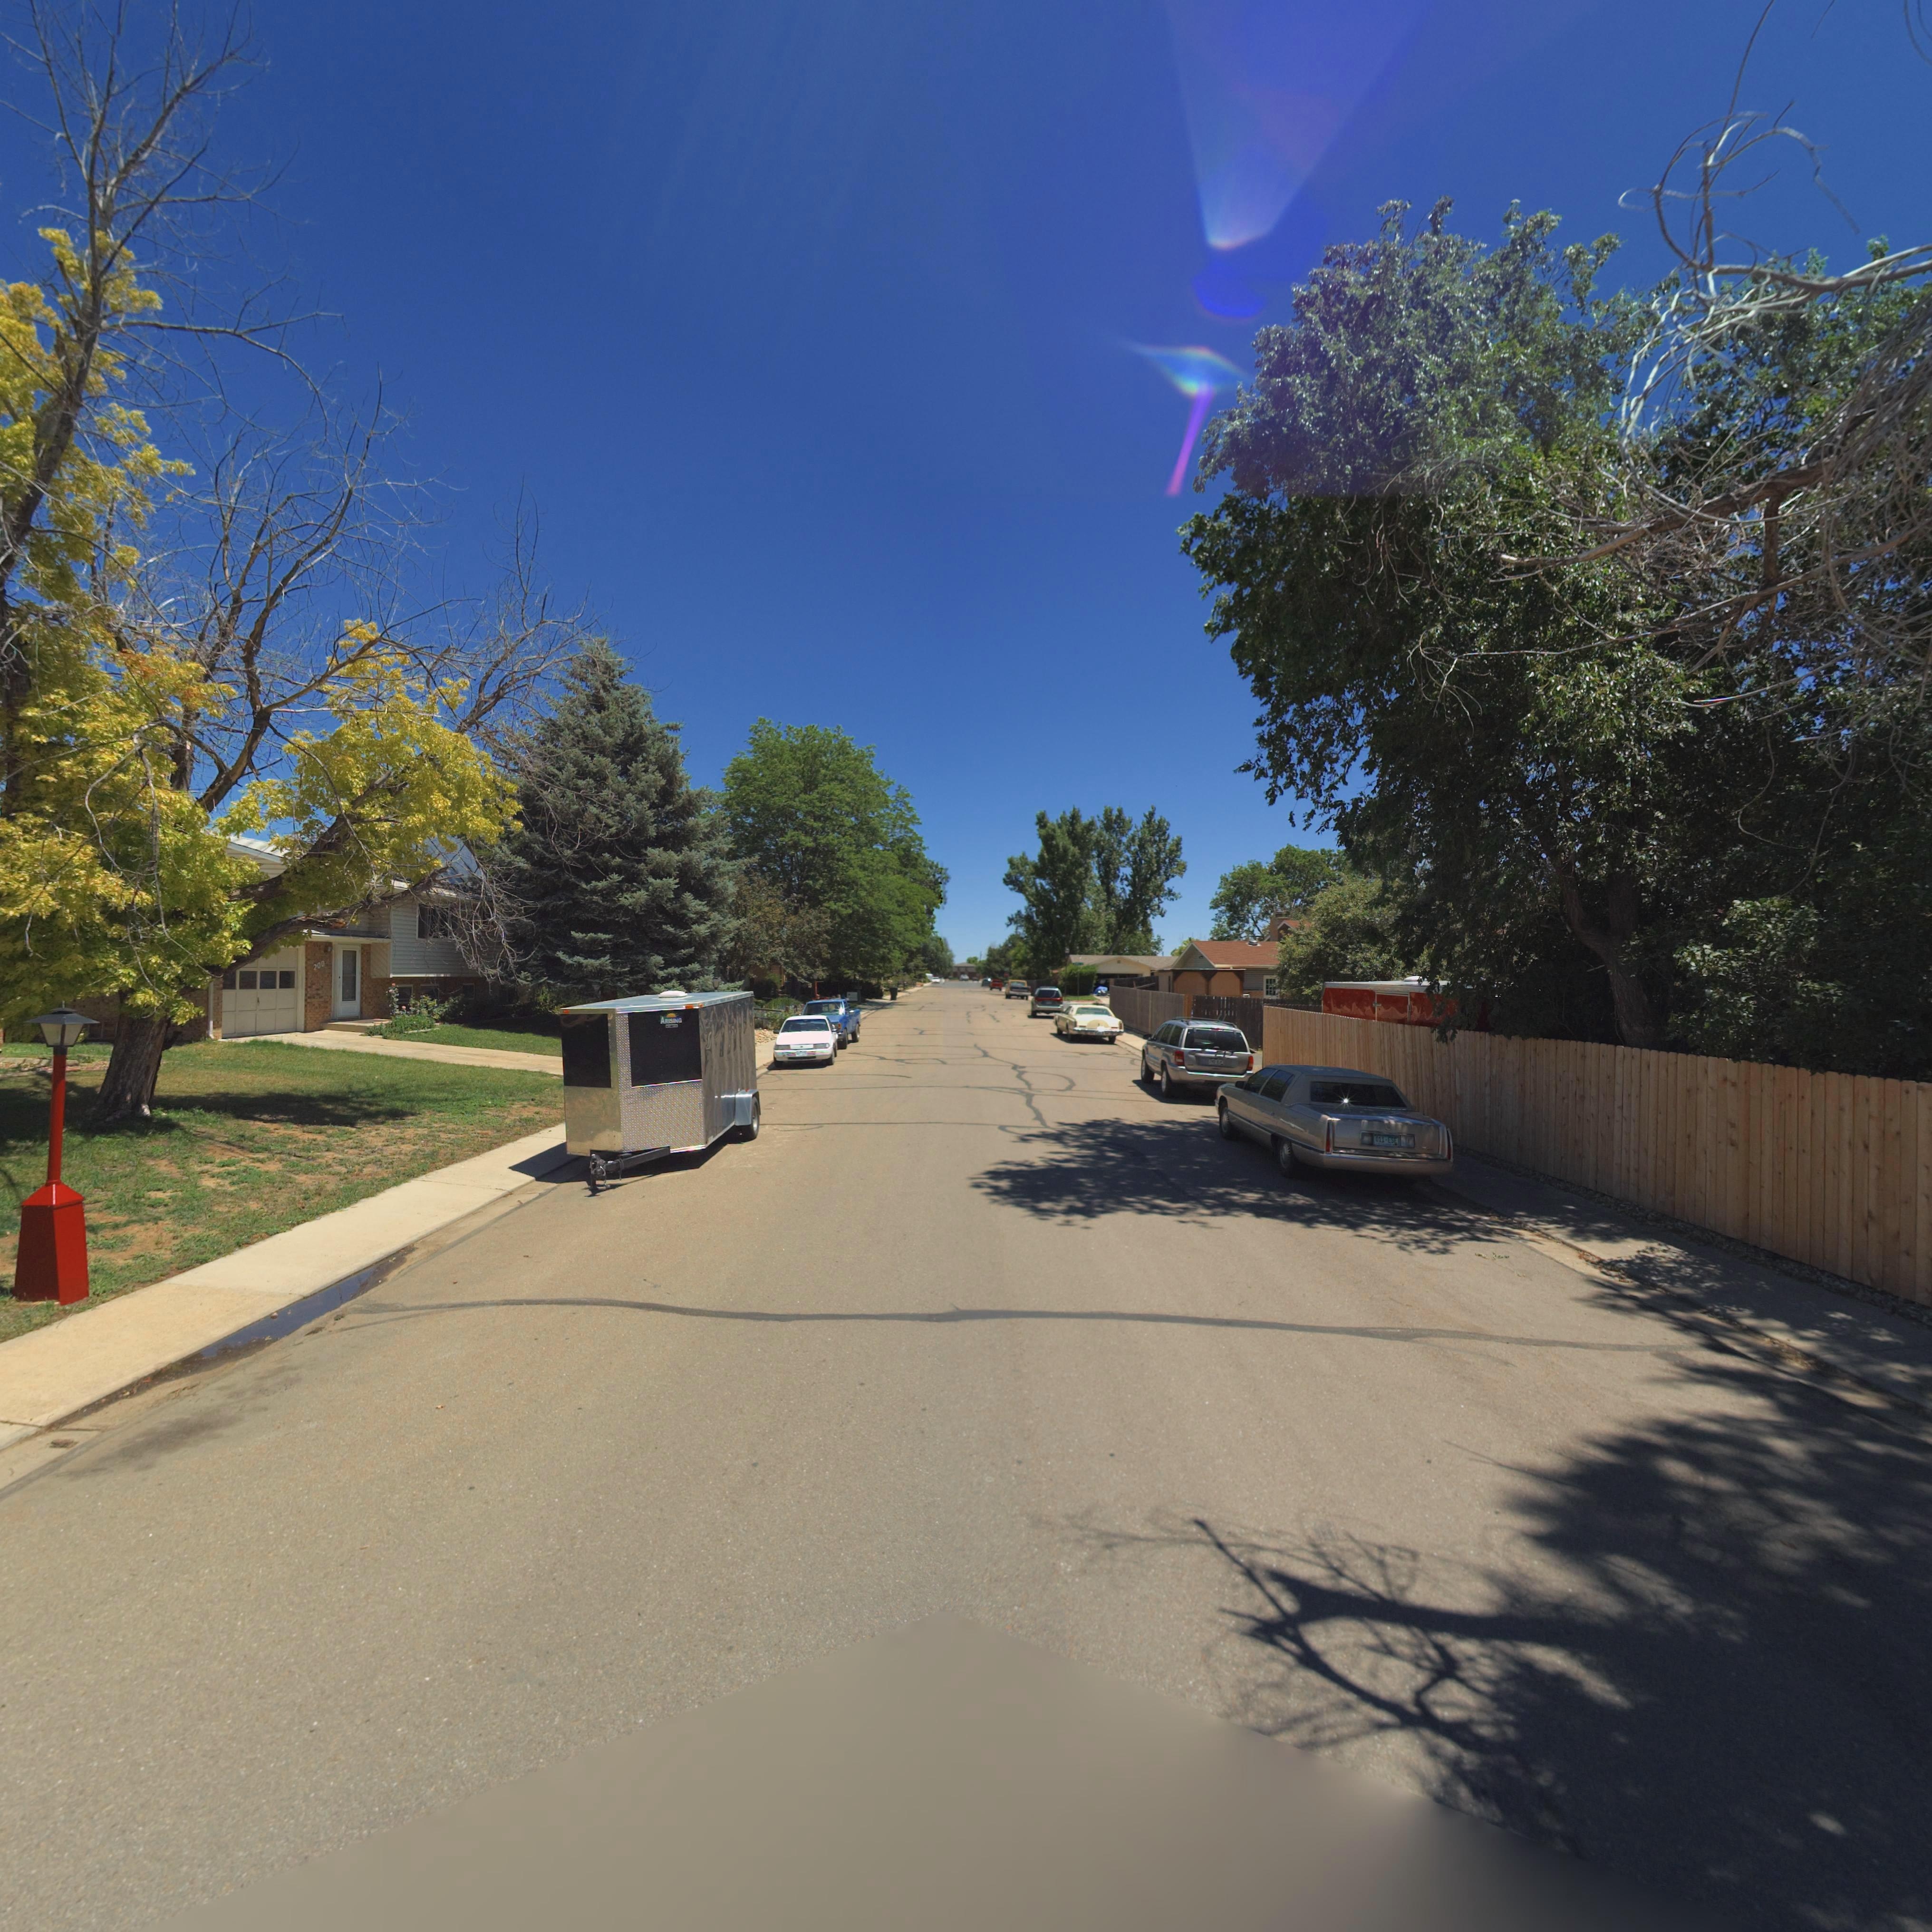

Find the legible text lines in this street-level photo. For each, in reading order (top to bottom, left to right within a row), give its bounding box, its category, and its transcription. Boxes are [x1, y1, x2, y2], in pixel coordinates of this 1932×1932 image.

[313, 960, 325, 971] StreetNumber: 200